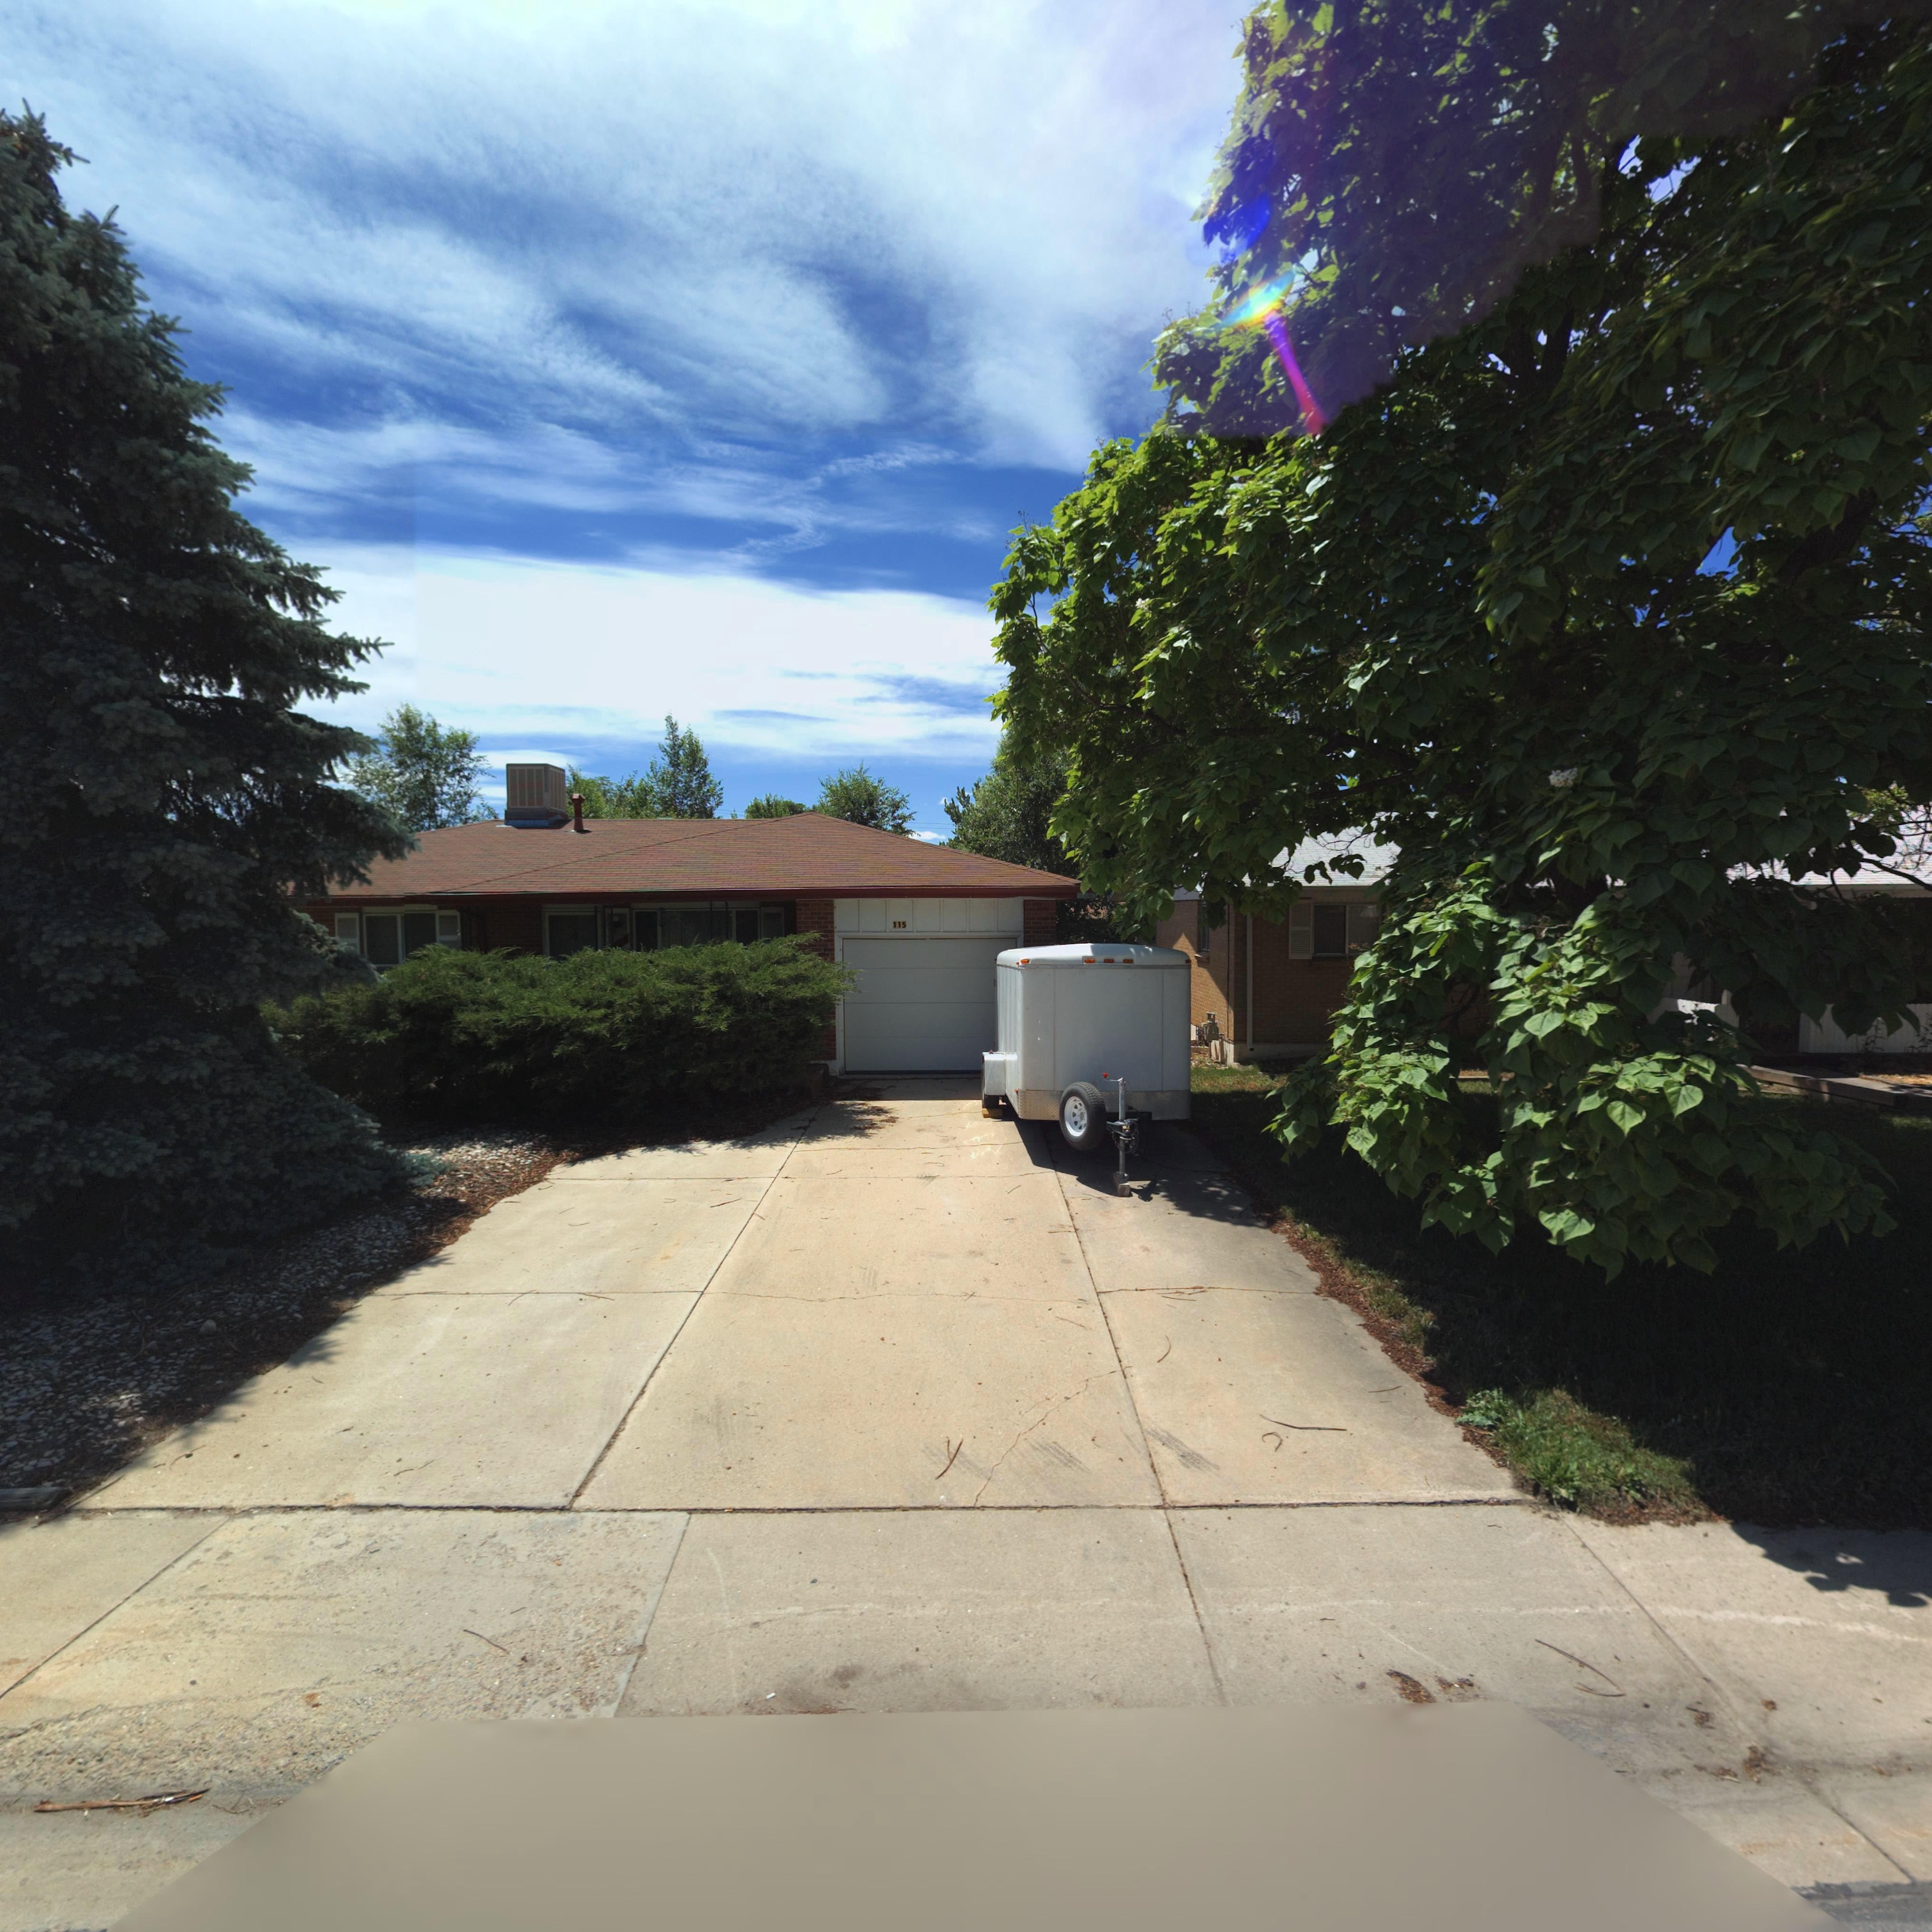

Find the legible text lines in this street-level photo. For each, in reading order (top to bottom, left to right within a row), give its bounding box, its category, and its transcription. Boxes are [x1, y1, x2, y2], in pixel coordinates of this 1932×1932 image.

[893, 921, 906, 927] StreetNumber: 115